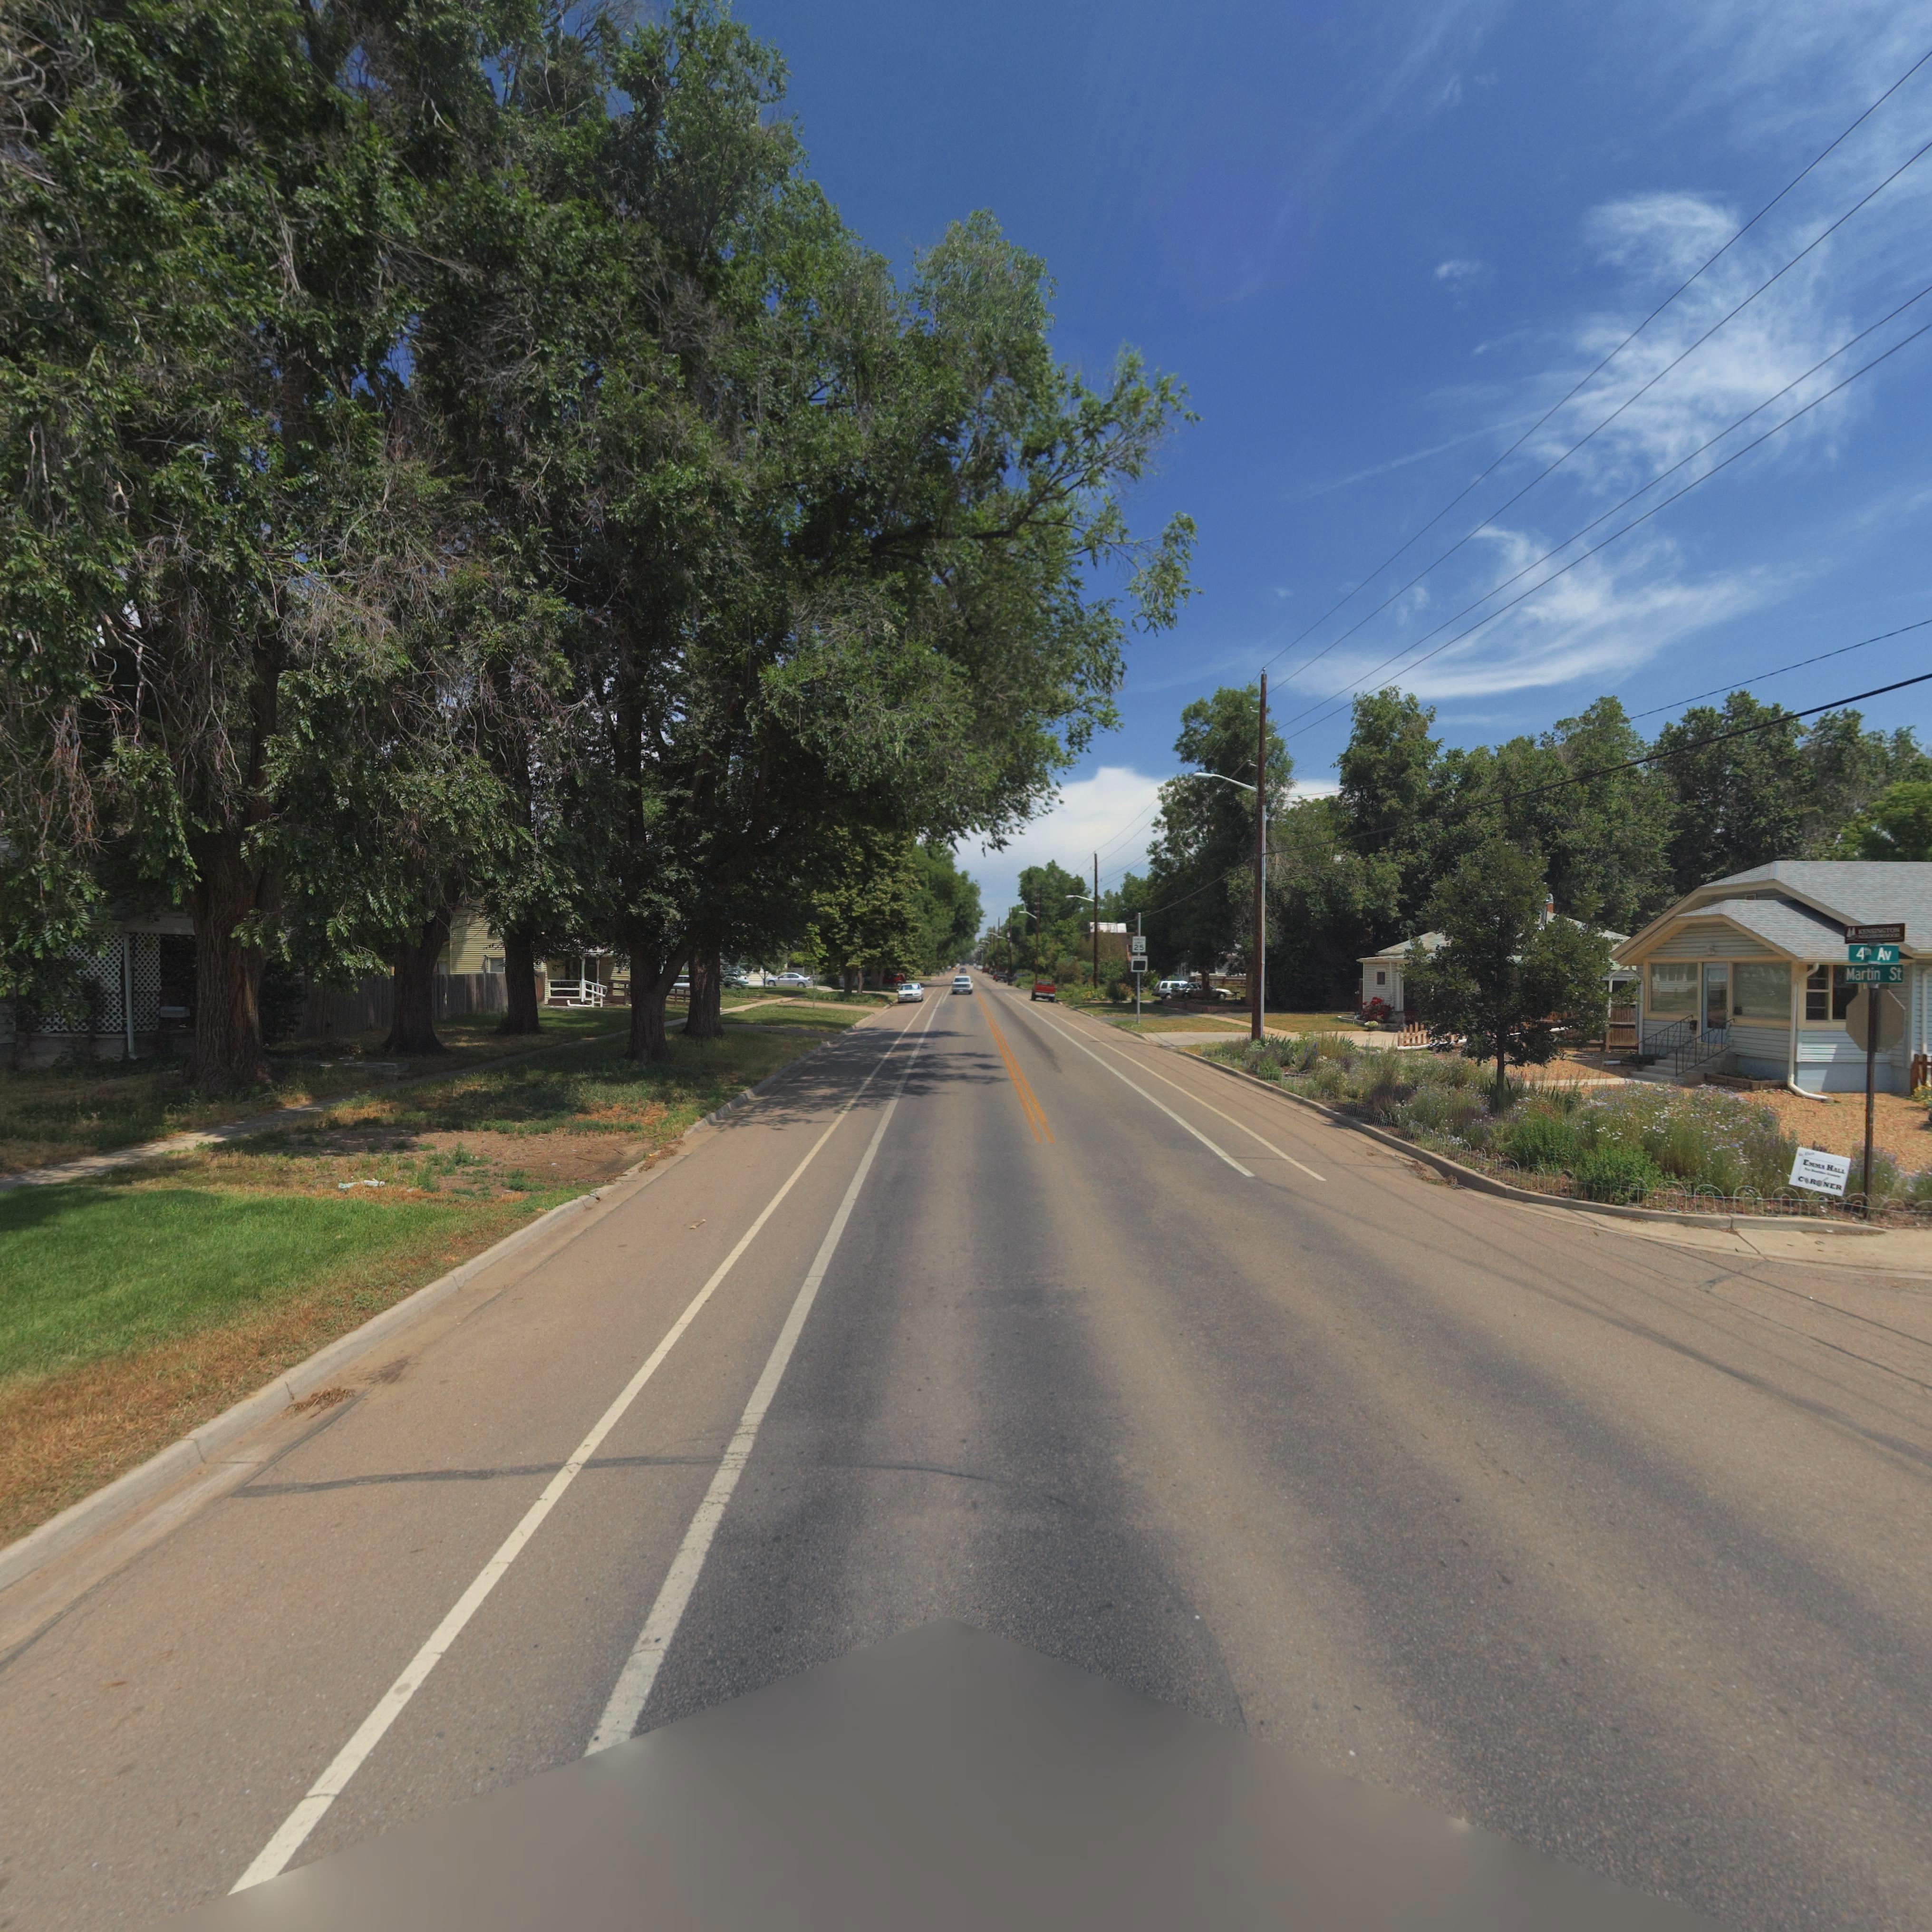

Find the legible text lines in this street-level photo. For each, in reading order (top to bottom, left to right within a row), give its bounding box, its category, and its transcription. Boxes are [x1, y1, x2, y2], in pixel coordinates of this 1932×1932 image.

[1855, 947, 1892, 961] StreetName: 4th Av
[1846, 966, 1902, 981] StreetName: Martin St
[1733, 1006, 1742, 1015] StreetNumber: 416